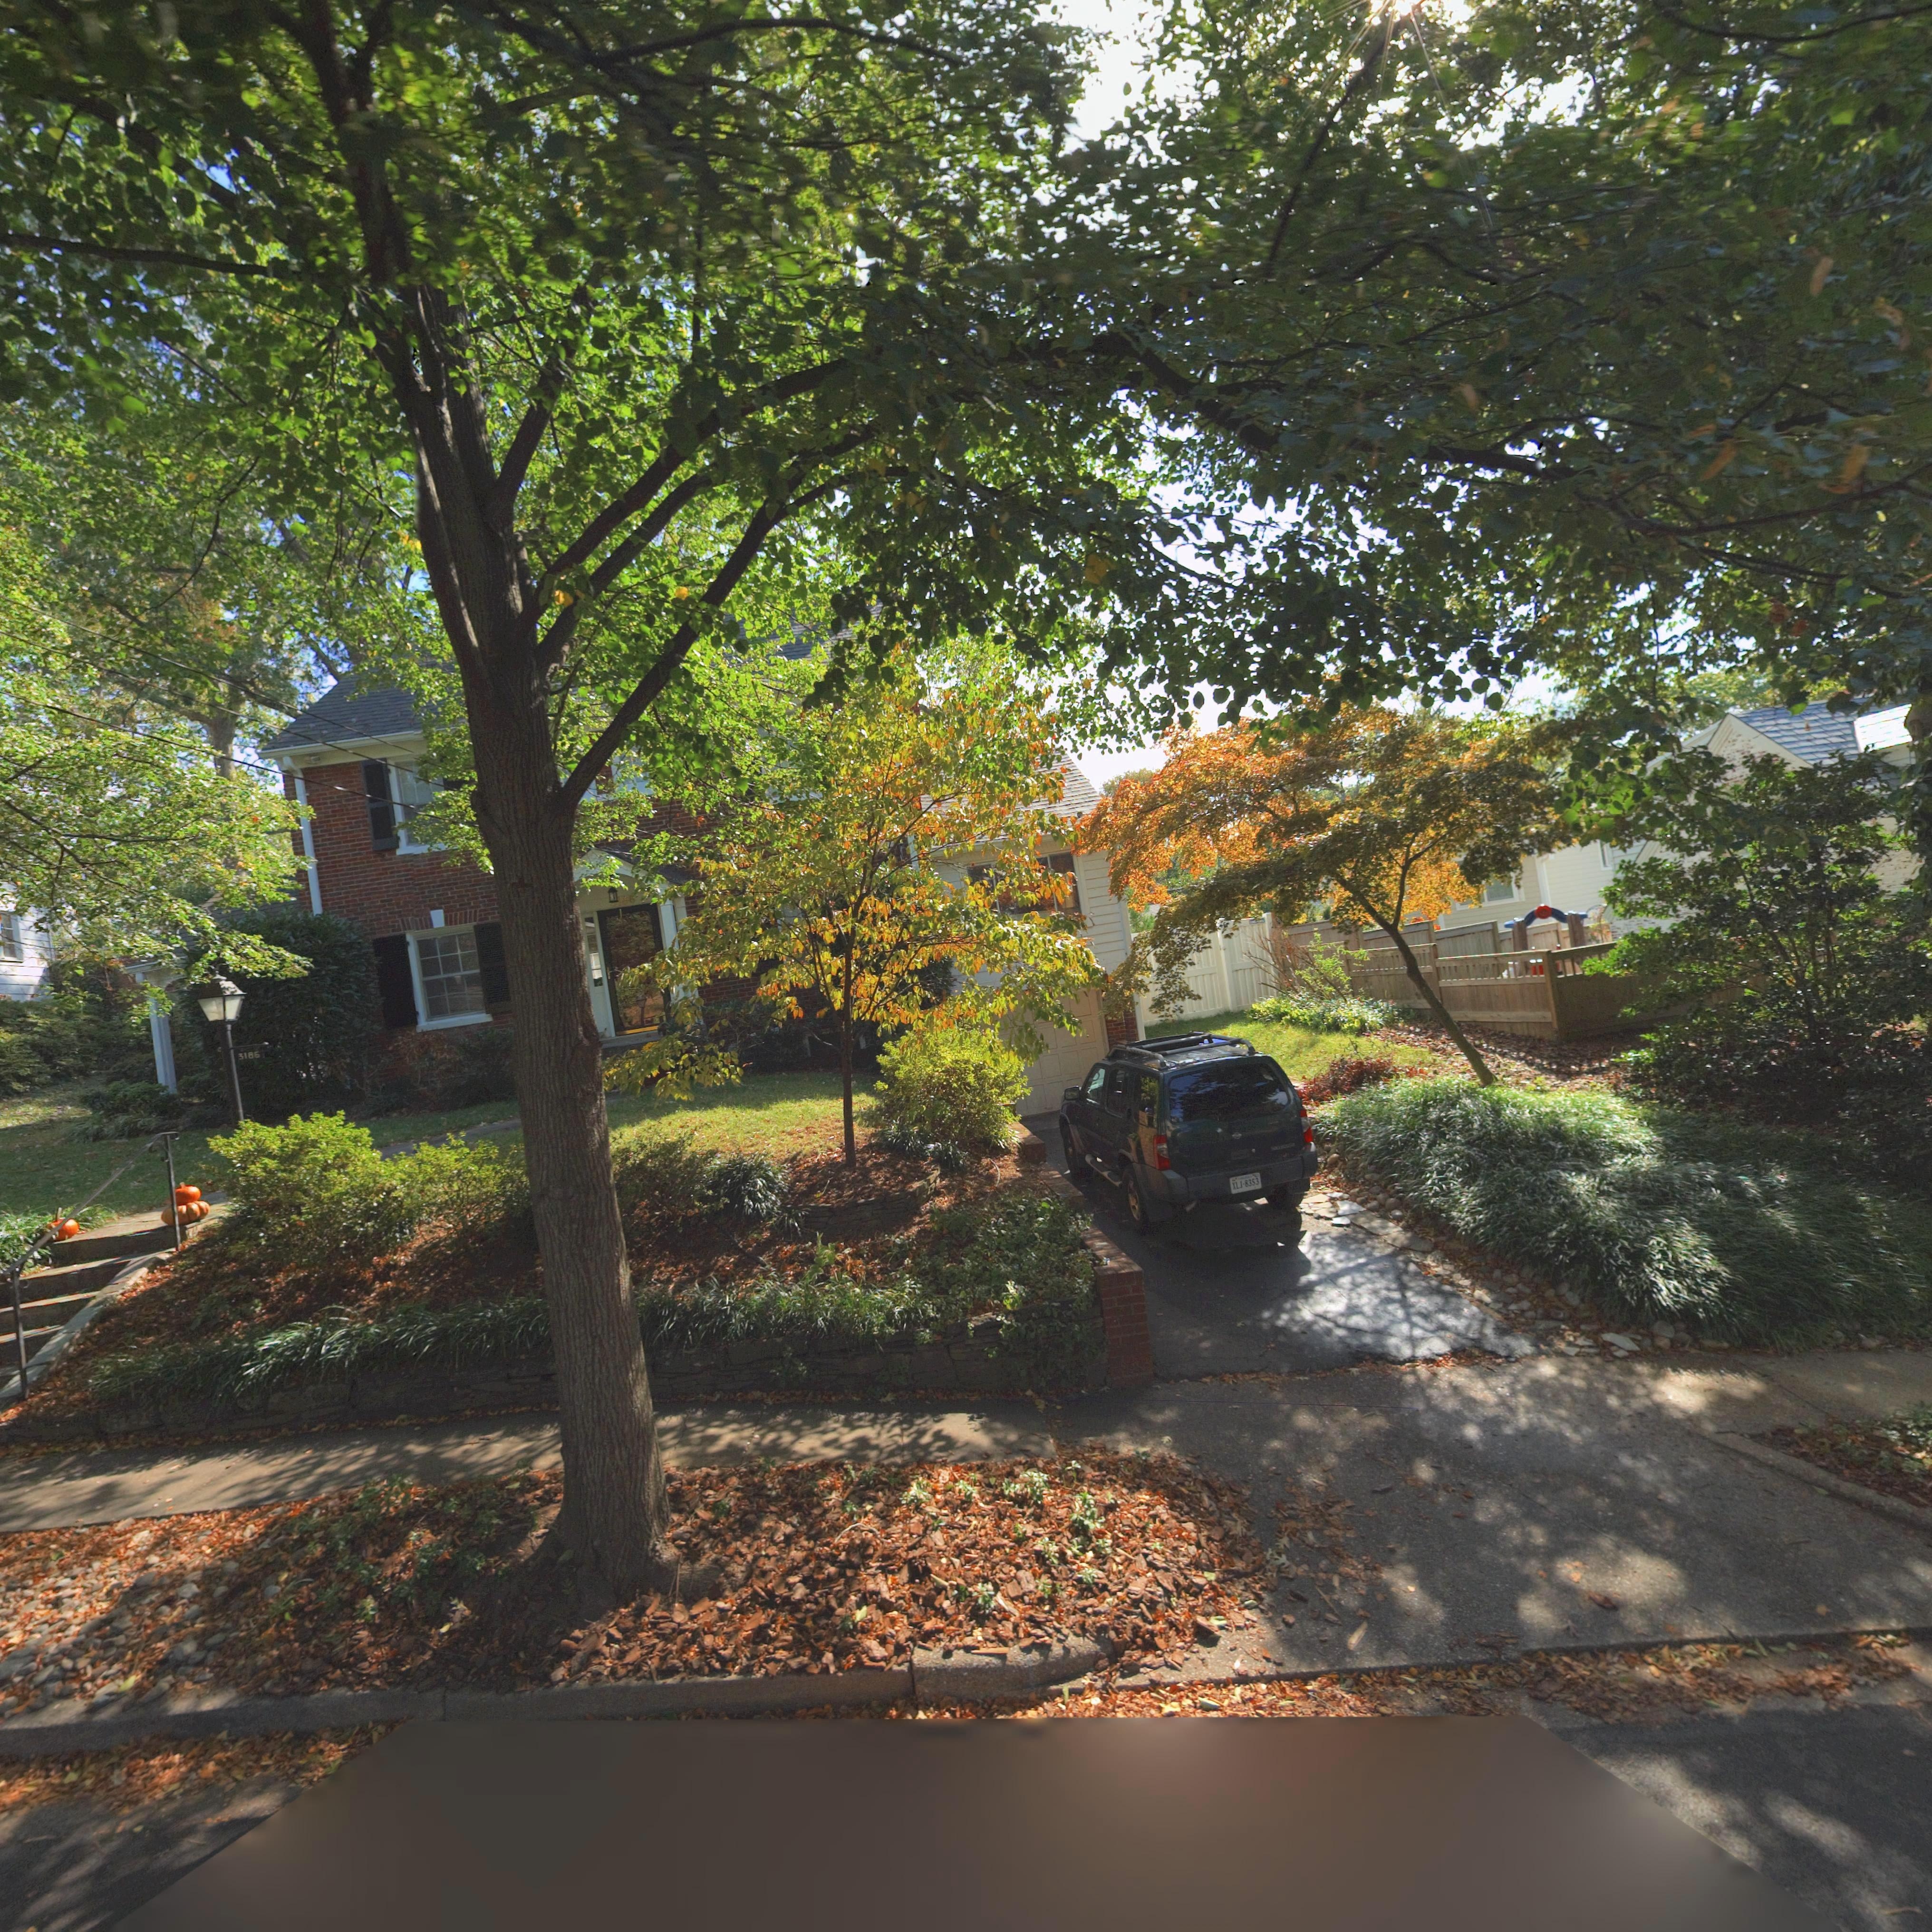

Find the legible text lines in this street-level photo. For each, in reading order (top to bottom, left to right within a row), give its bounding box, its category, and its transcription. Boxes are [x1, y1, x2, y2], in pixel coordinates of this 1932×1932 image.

[237, 1050, 262, 1061] StreetNumber: 3186
[1231, 1177, 1260, 1192] None: XLJ-8353